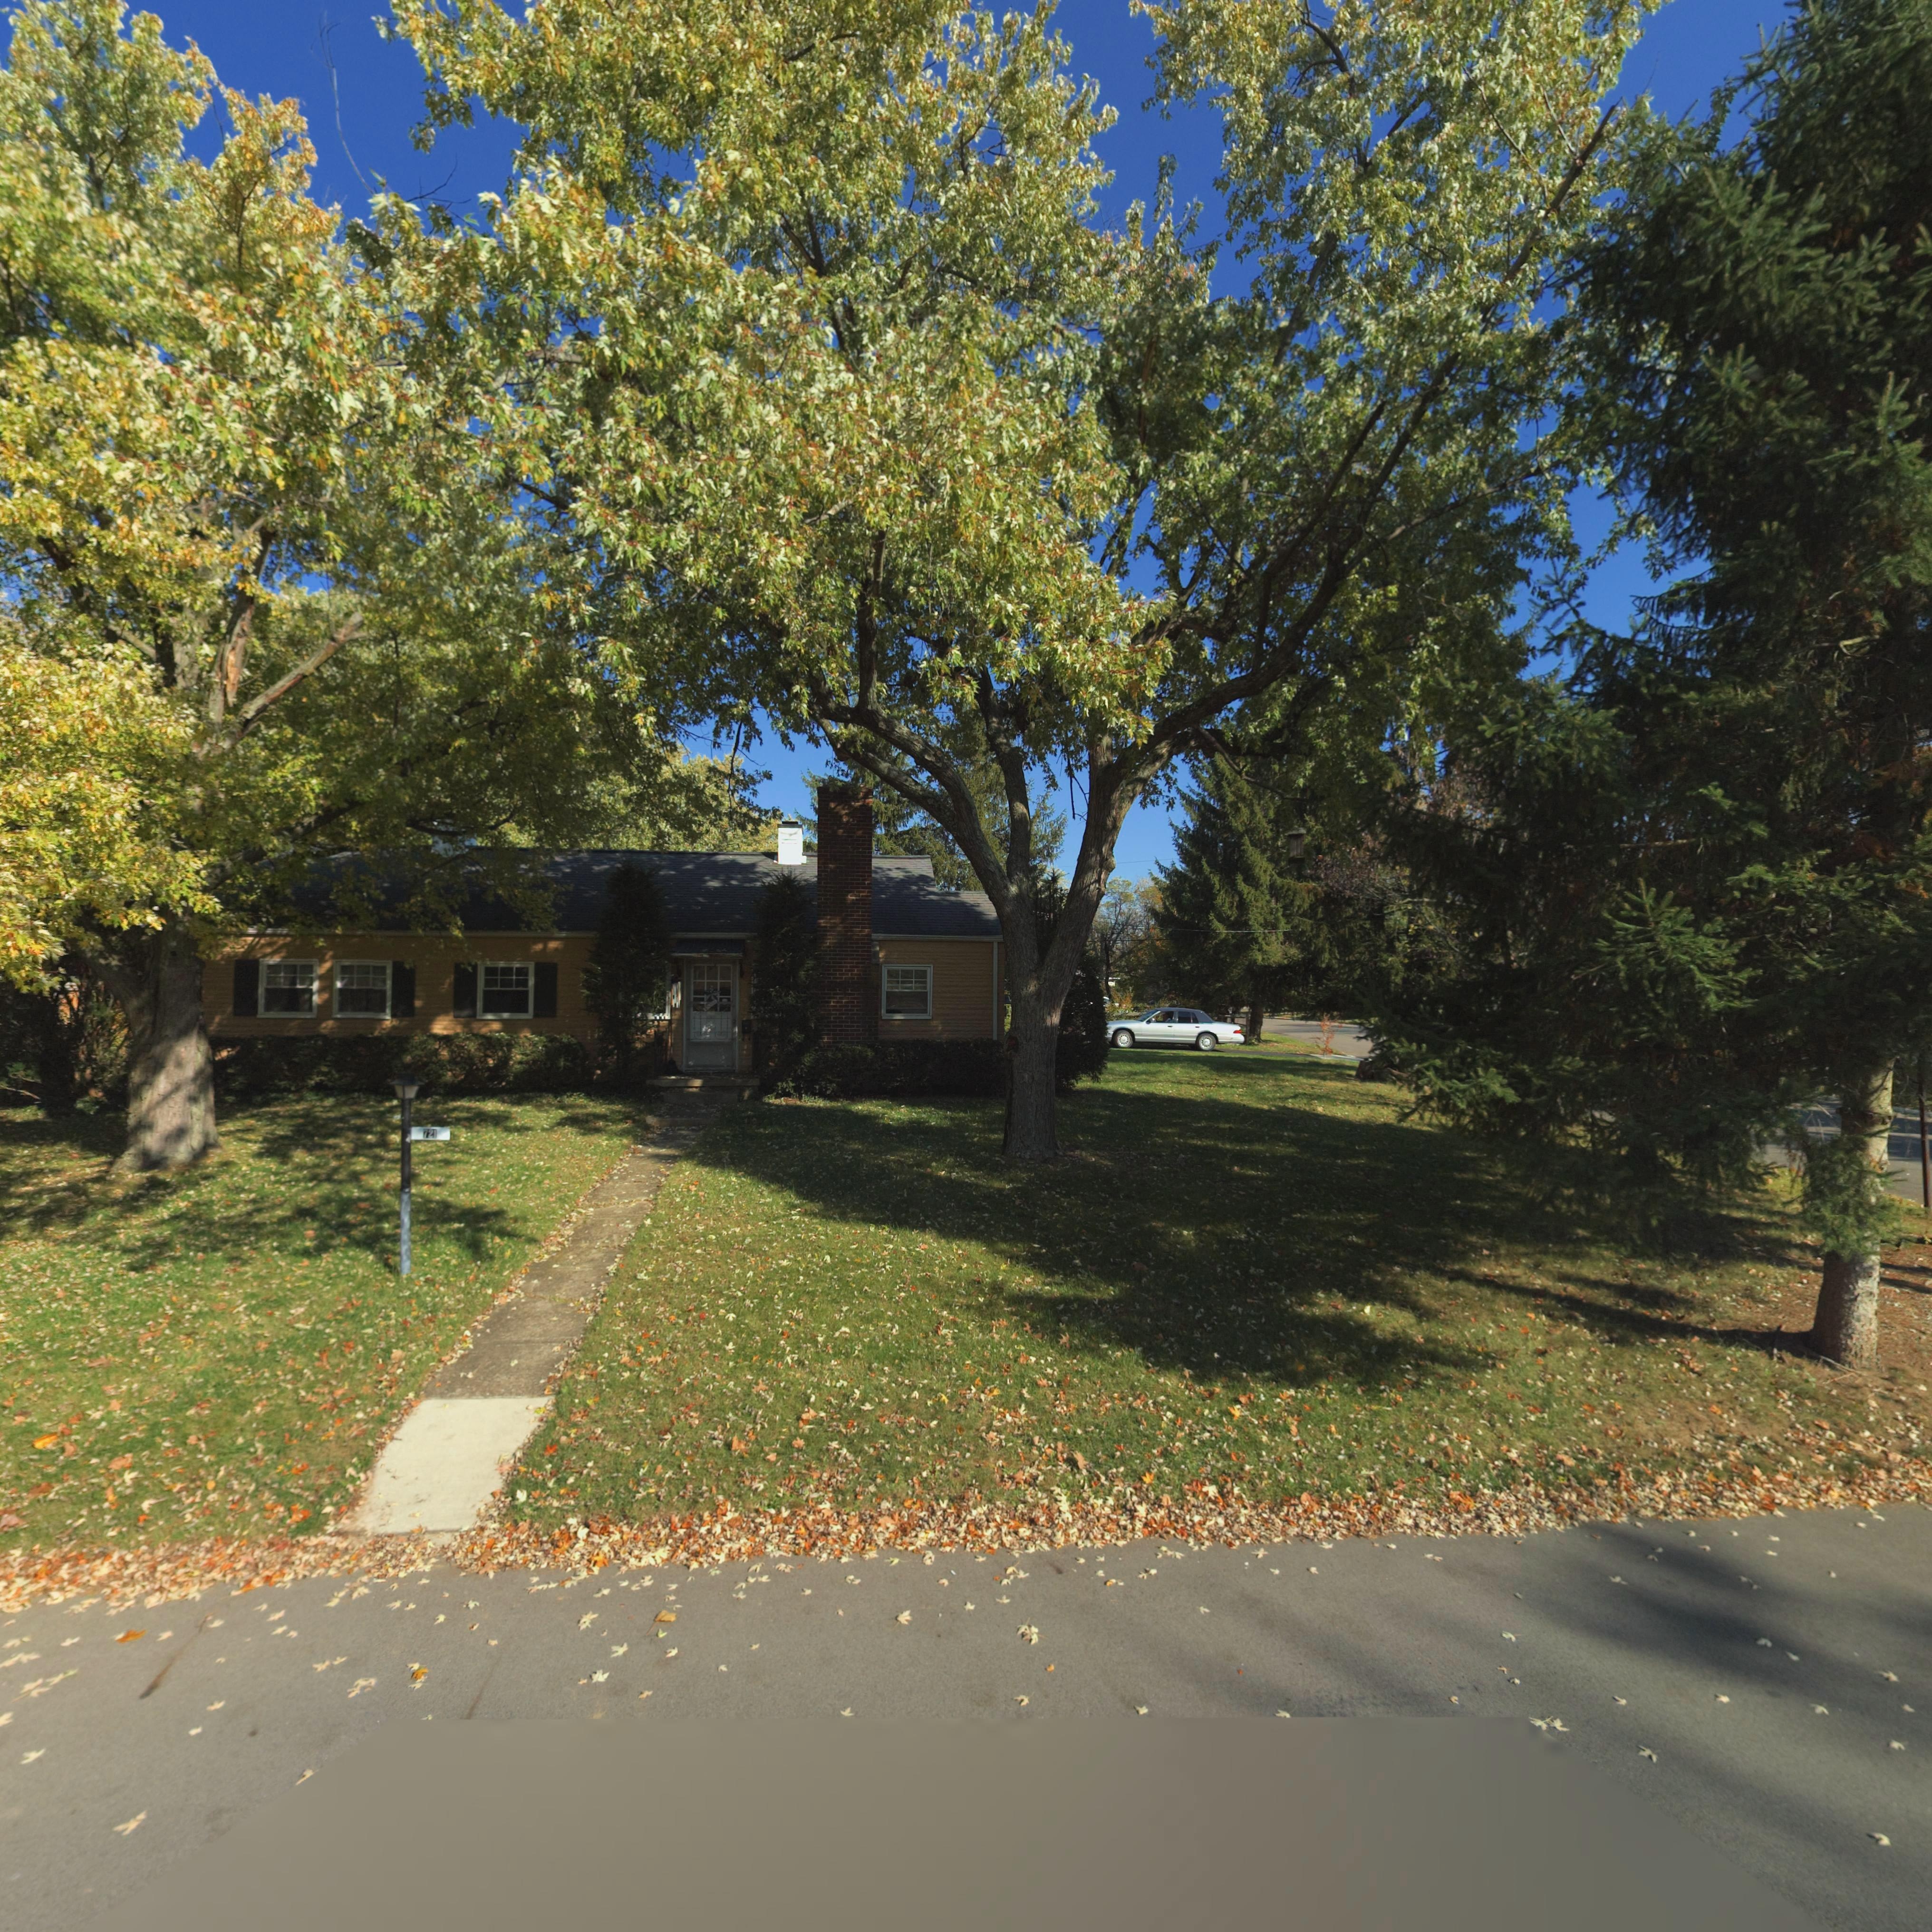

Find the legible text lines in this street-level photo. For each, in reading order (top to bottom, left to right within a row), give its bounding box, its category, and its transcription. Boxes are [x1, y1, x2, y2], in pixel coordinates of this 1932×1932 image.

[423, 1128, 438, 1139] StreetNumber: 721